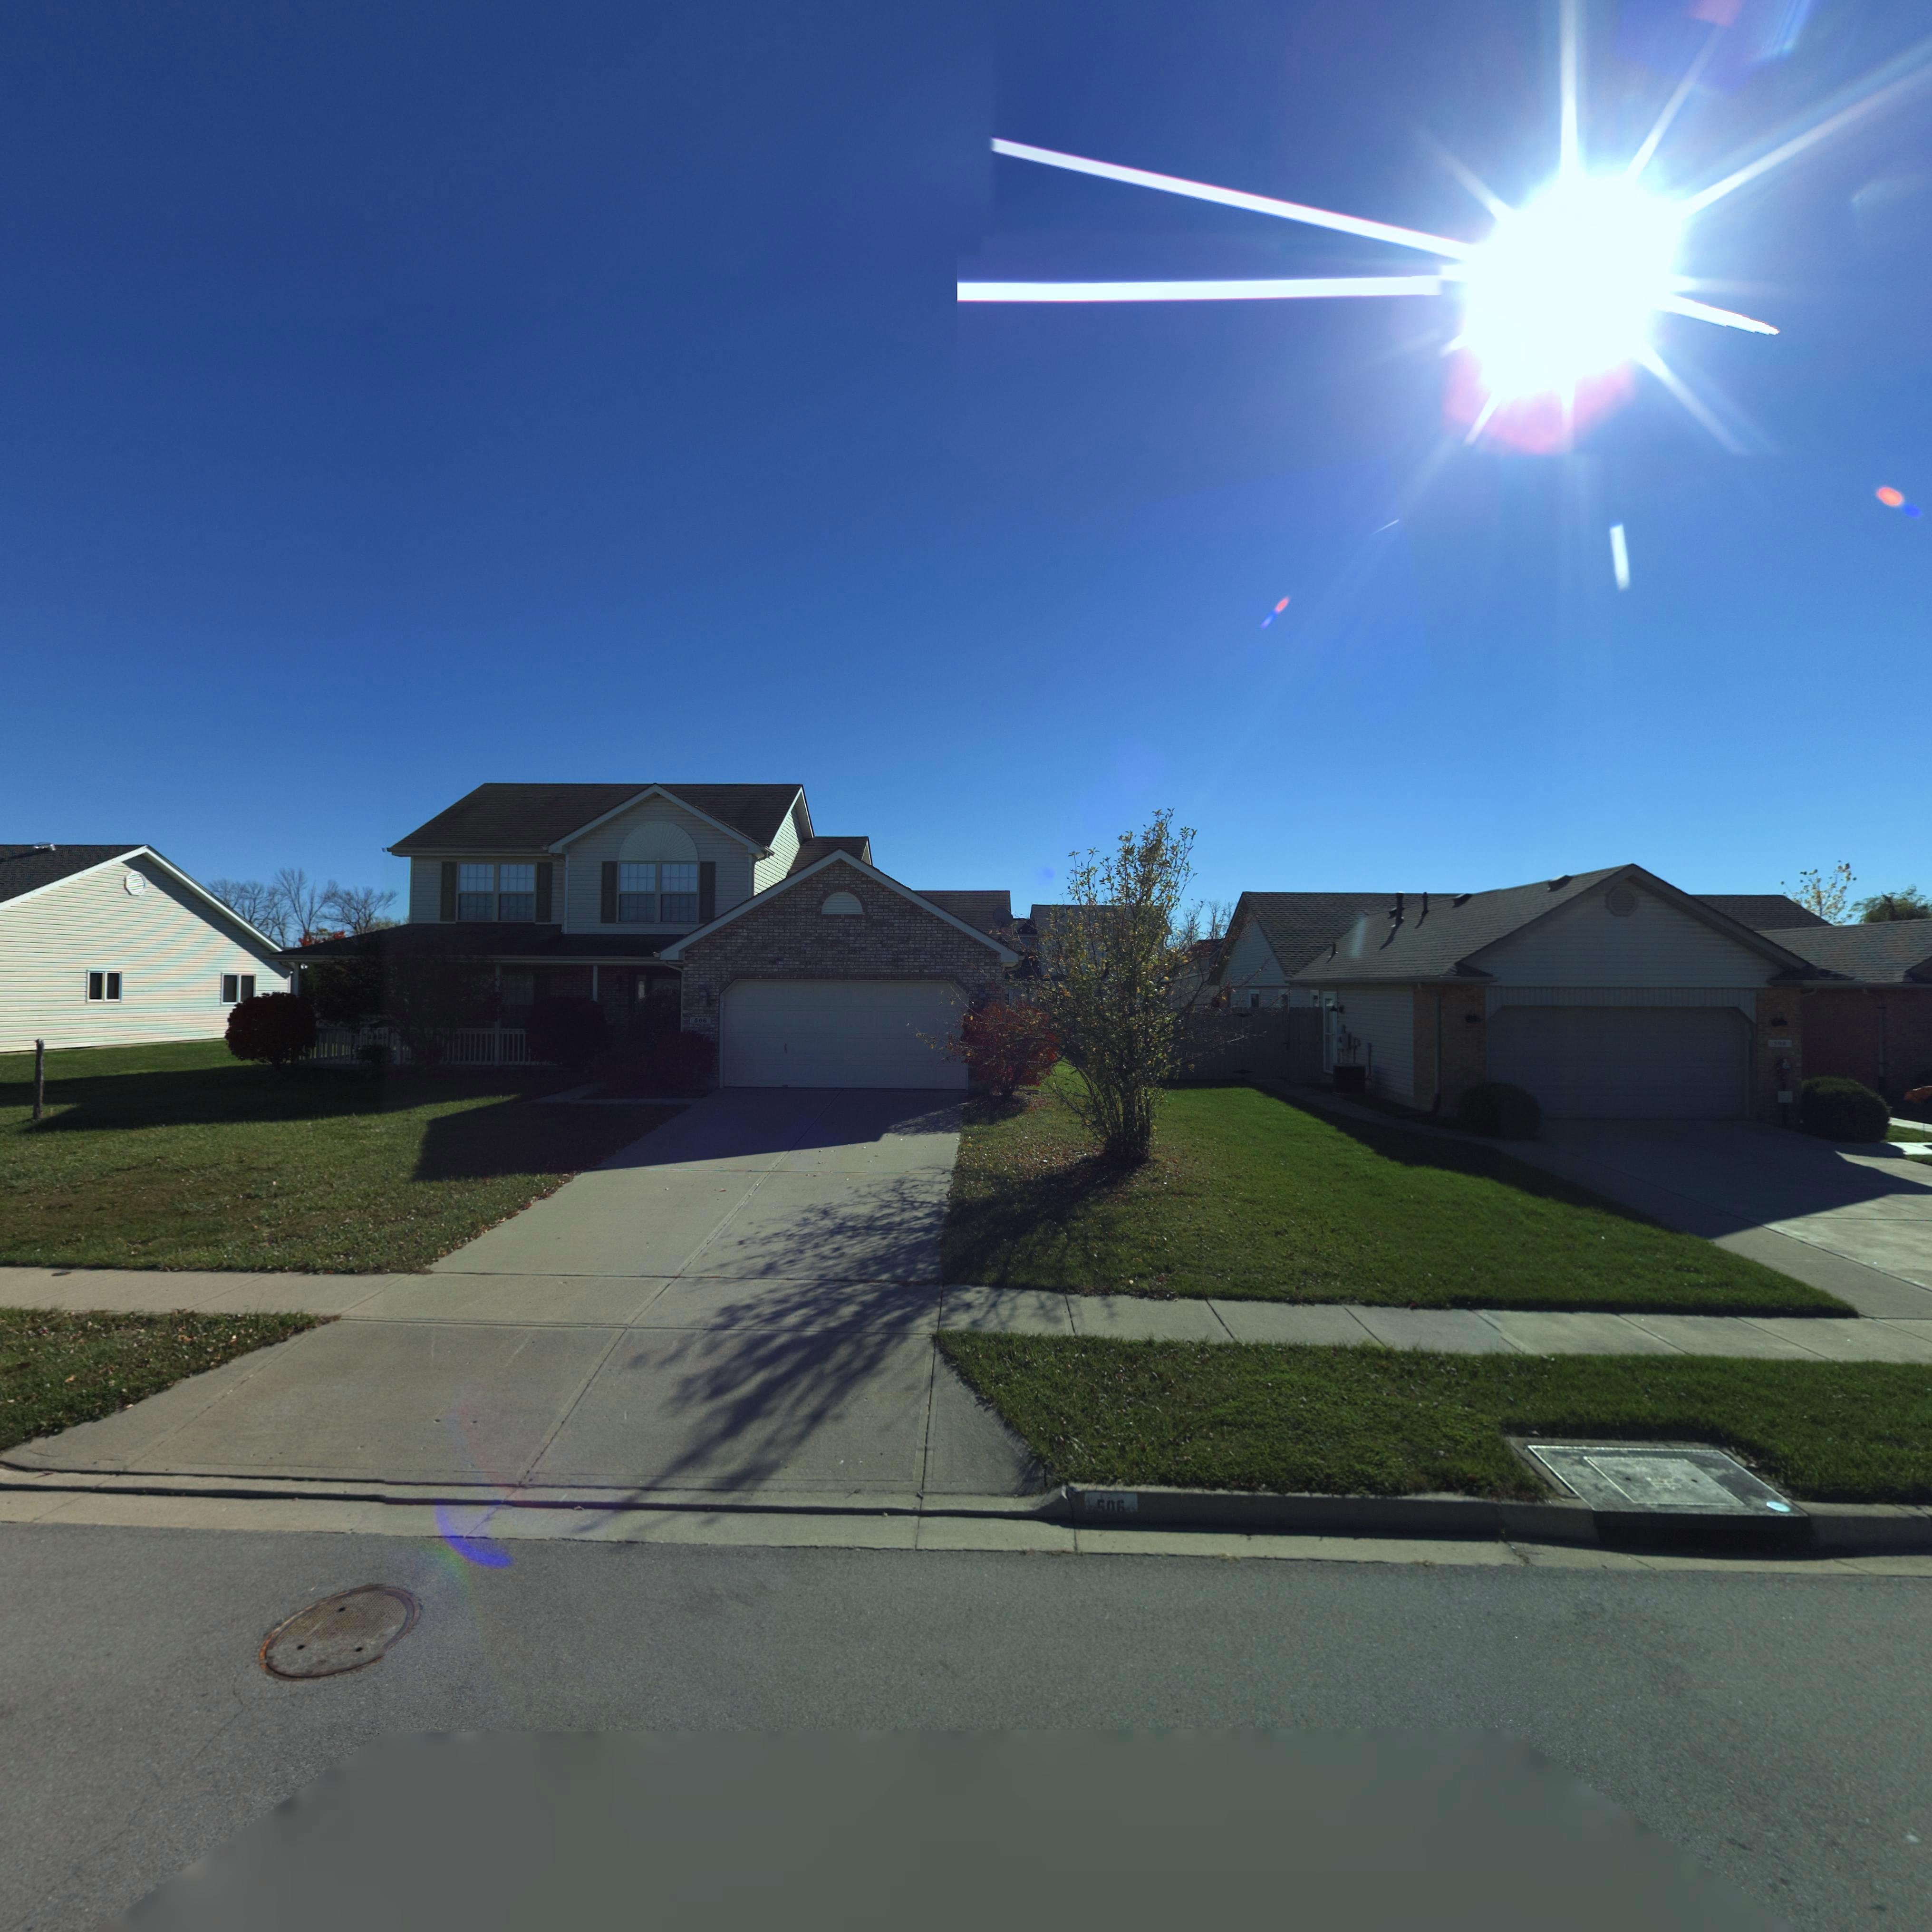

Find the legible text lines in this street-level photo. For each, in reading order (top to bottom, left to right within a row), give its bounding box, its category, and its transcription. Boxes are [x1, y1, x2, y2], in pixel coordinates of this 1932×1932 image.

[693, 1017, 708, 1024] StreetNumber: 506